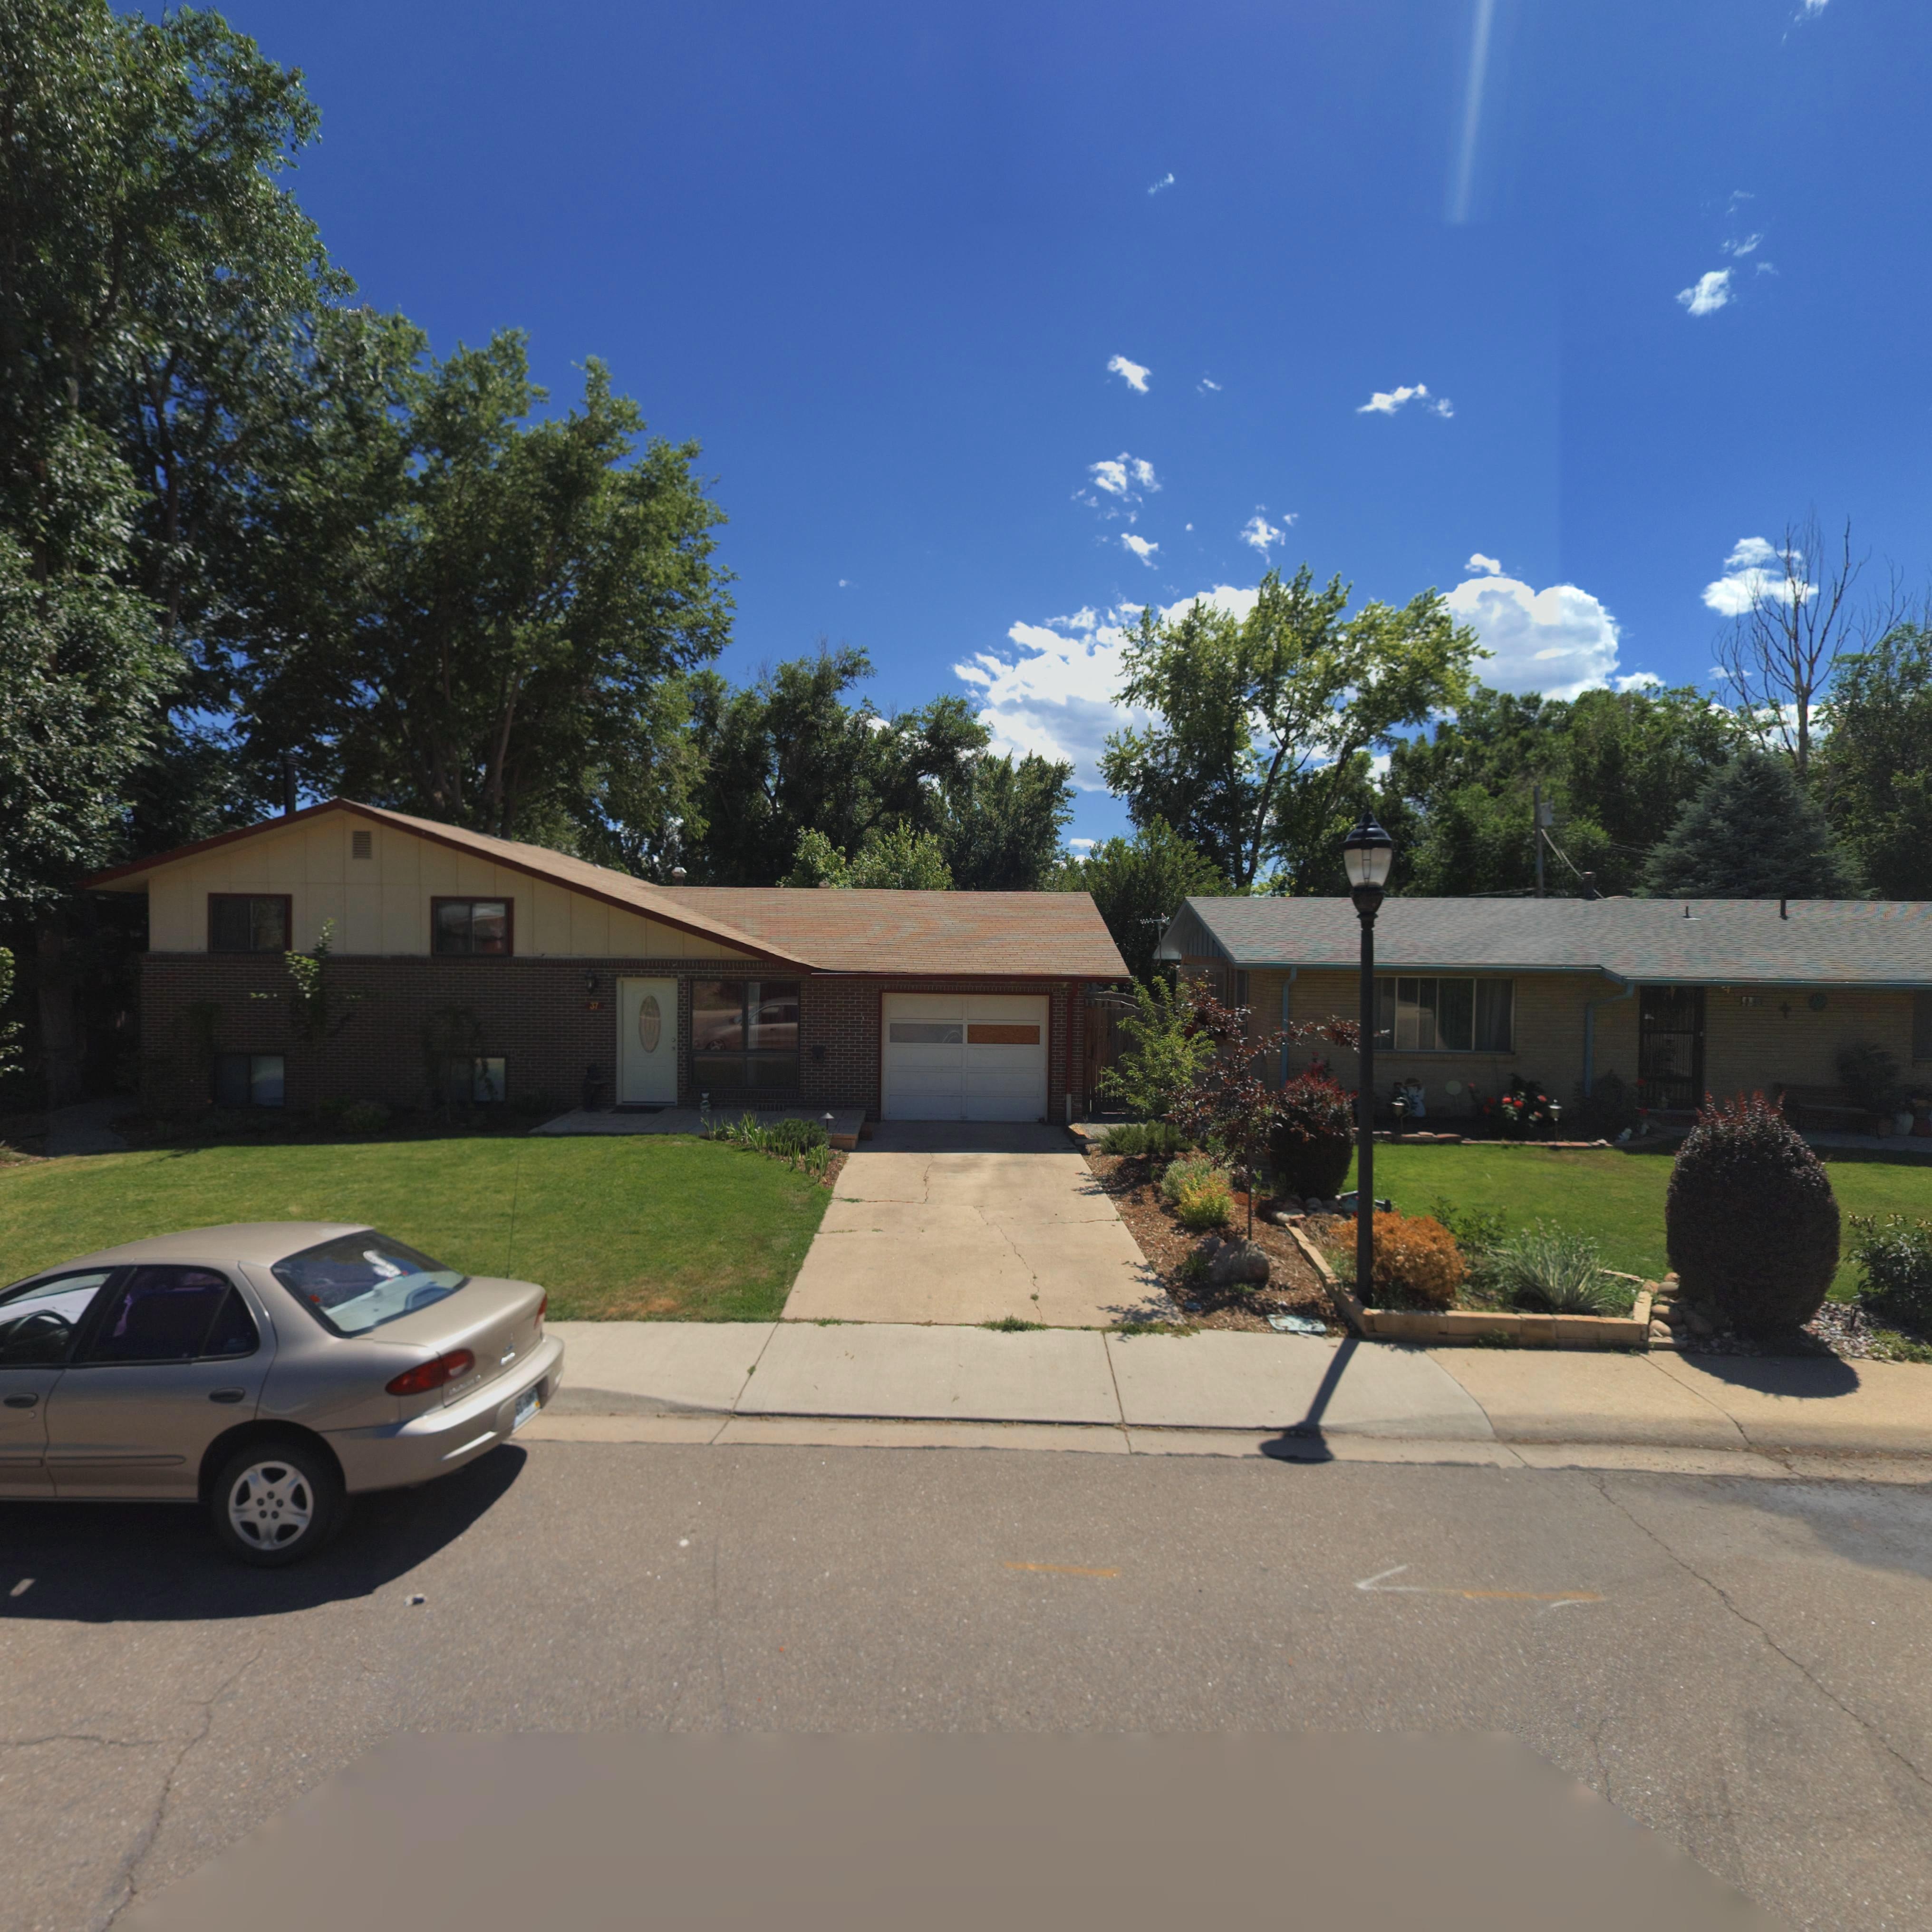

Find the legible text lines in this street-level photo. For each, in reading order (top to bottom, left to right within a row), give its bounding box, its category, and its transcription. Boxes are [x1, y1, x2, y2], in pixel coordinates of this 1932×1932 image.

[589, 1002, 599, 1010] StreetNumber: 37